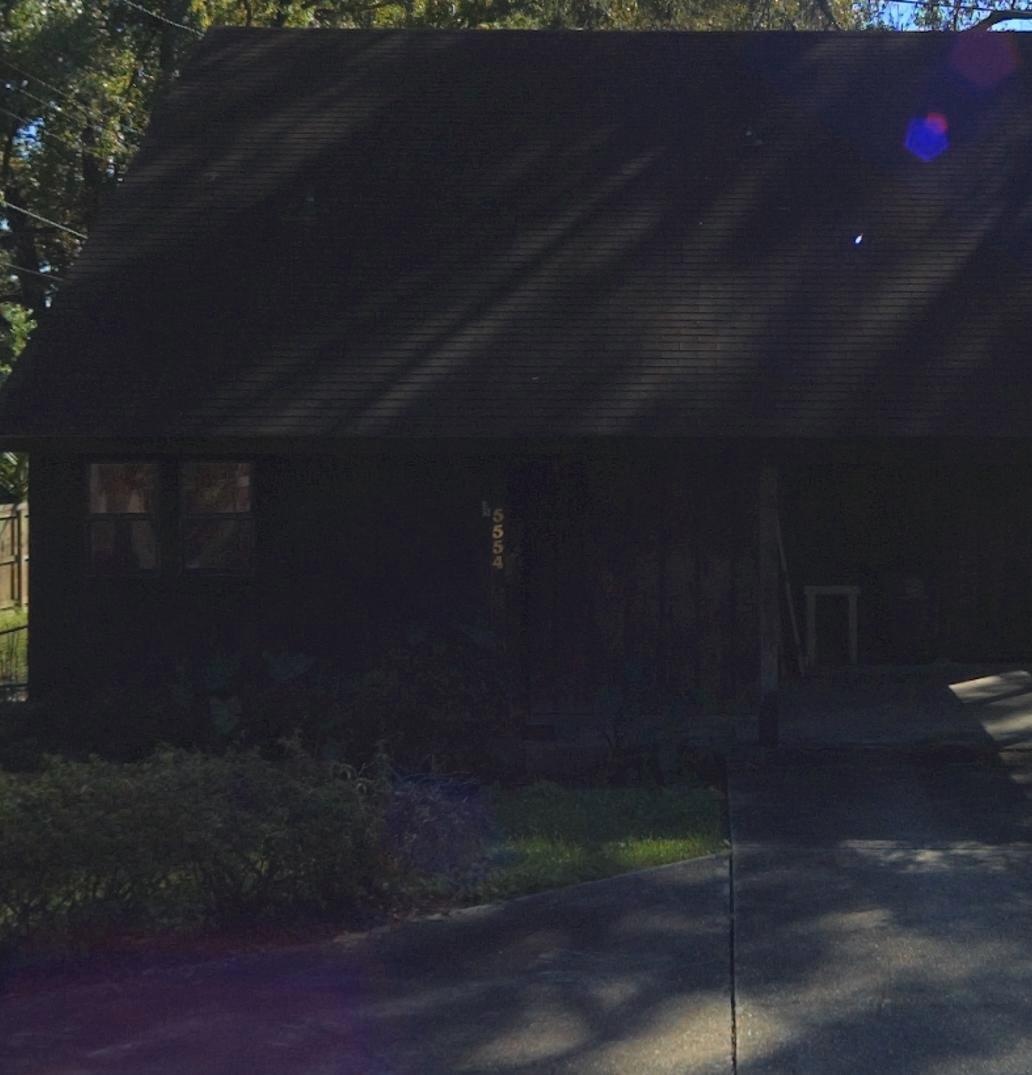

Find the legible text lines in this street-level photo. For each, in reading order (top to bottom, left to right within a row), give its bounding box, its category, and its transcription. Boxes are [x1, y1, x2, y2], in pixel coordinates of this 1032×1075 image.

[491, 507, 505, 570] StreetNumber: 5554